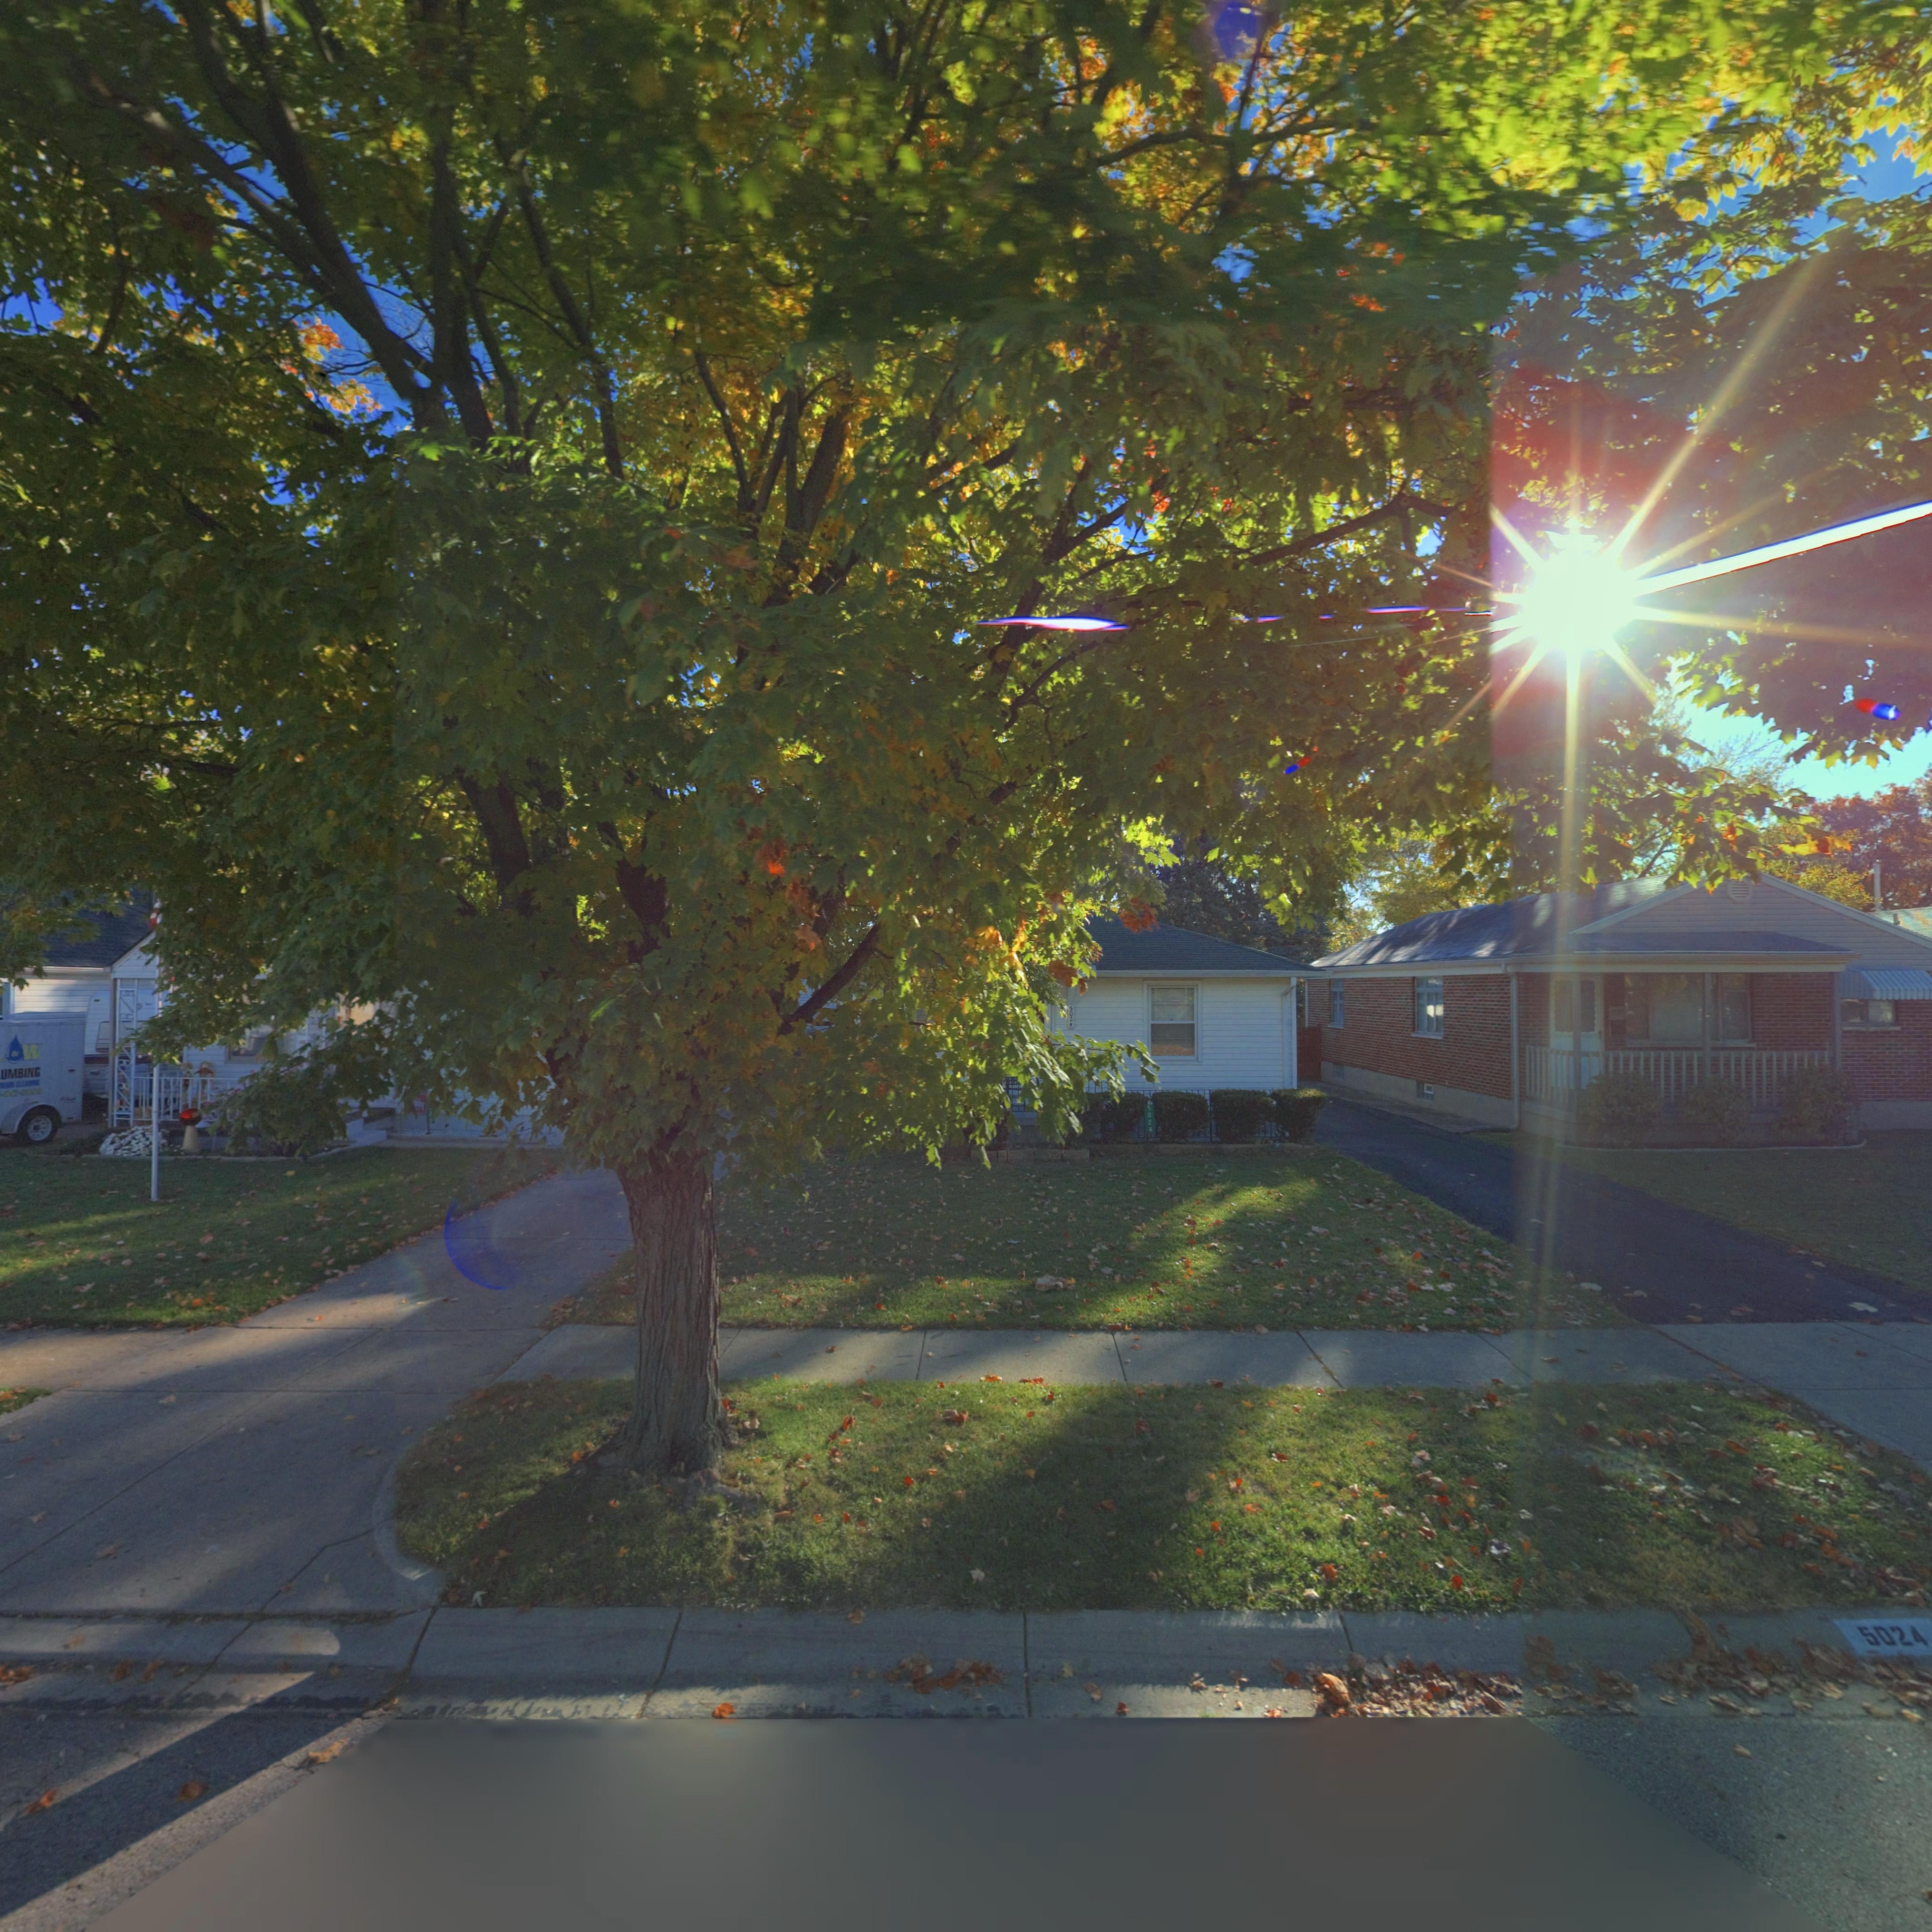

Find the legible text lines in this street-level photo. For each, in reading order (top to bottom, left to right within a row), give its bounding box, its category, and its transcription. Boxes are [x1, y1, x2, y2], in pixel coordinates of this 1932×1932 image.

[1068, 1005, 1073, 1027] StreetNumber: 5024
[1616, 1009, 1624, 1015] StreetNumber: 30
[1146, 1105, 1153, 1132] StreetNumber: 5024
[1855, 1625, 1931, 1646] StreetNumber: 5024